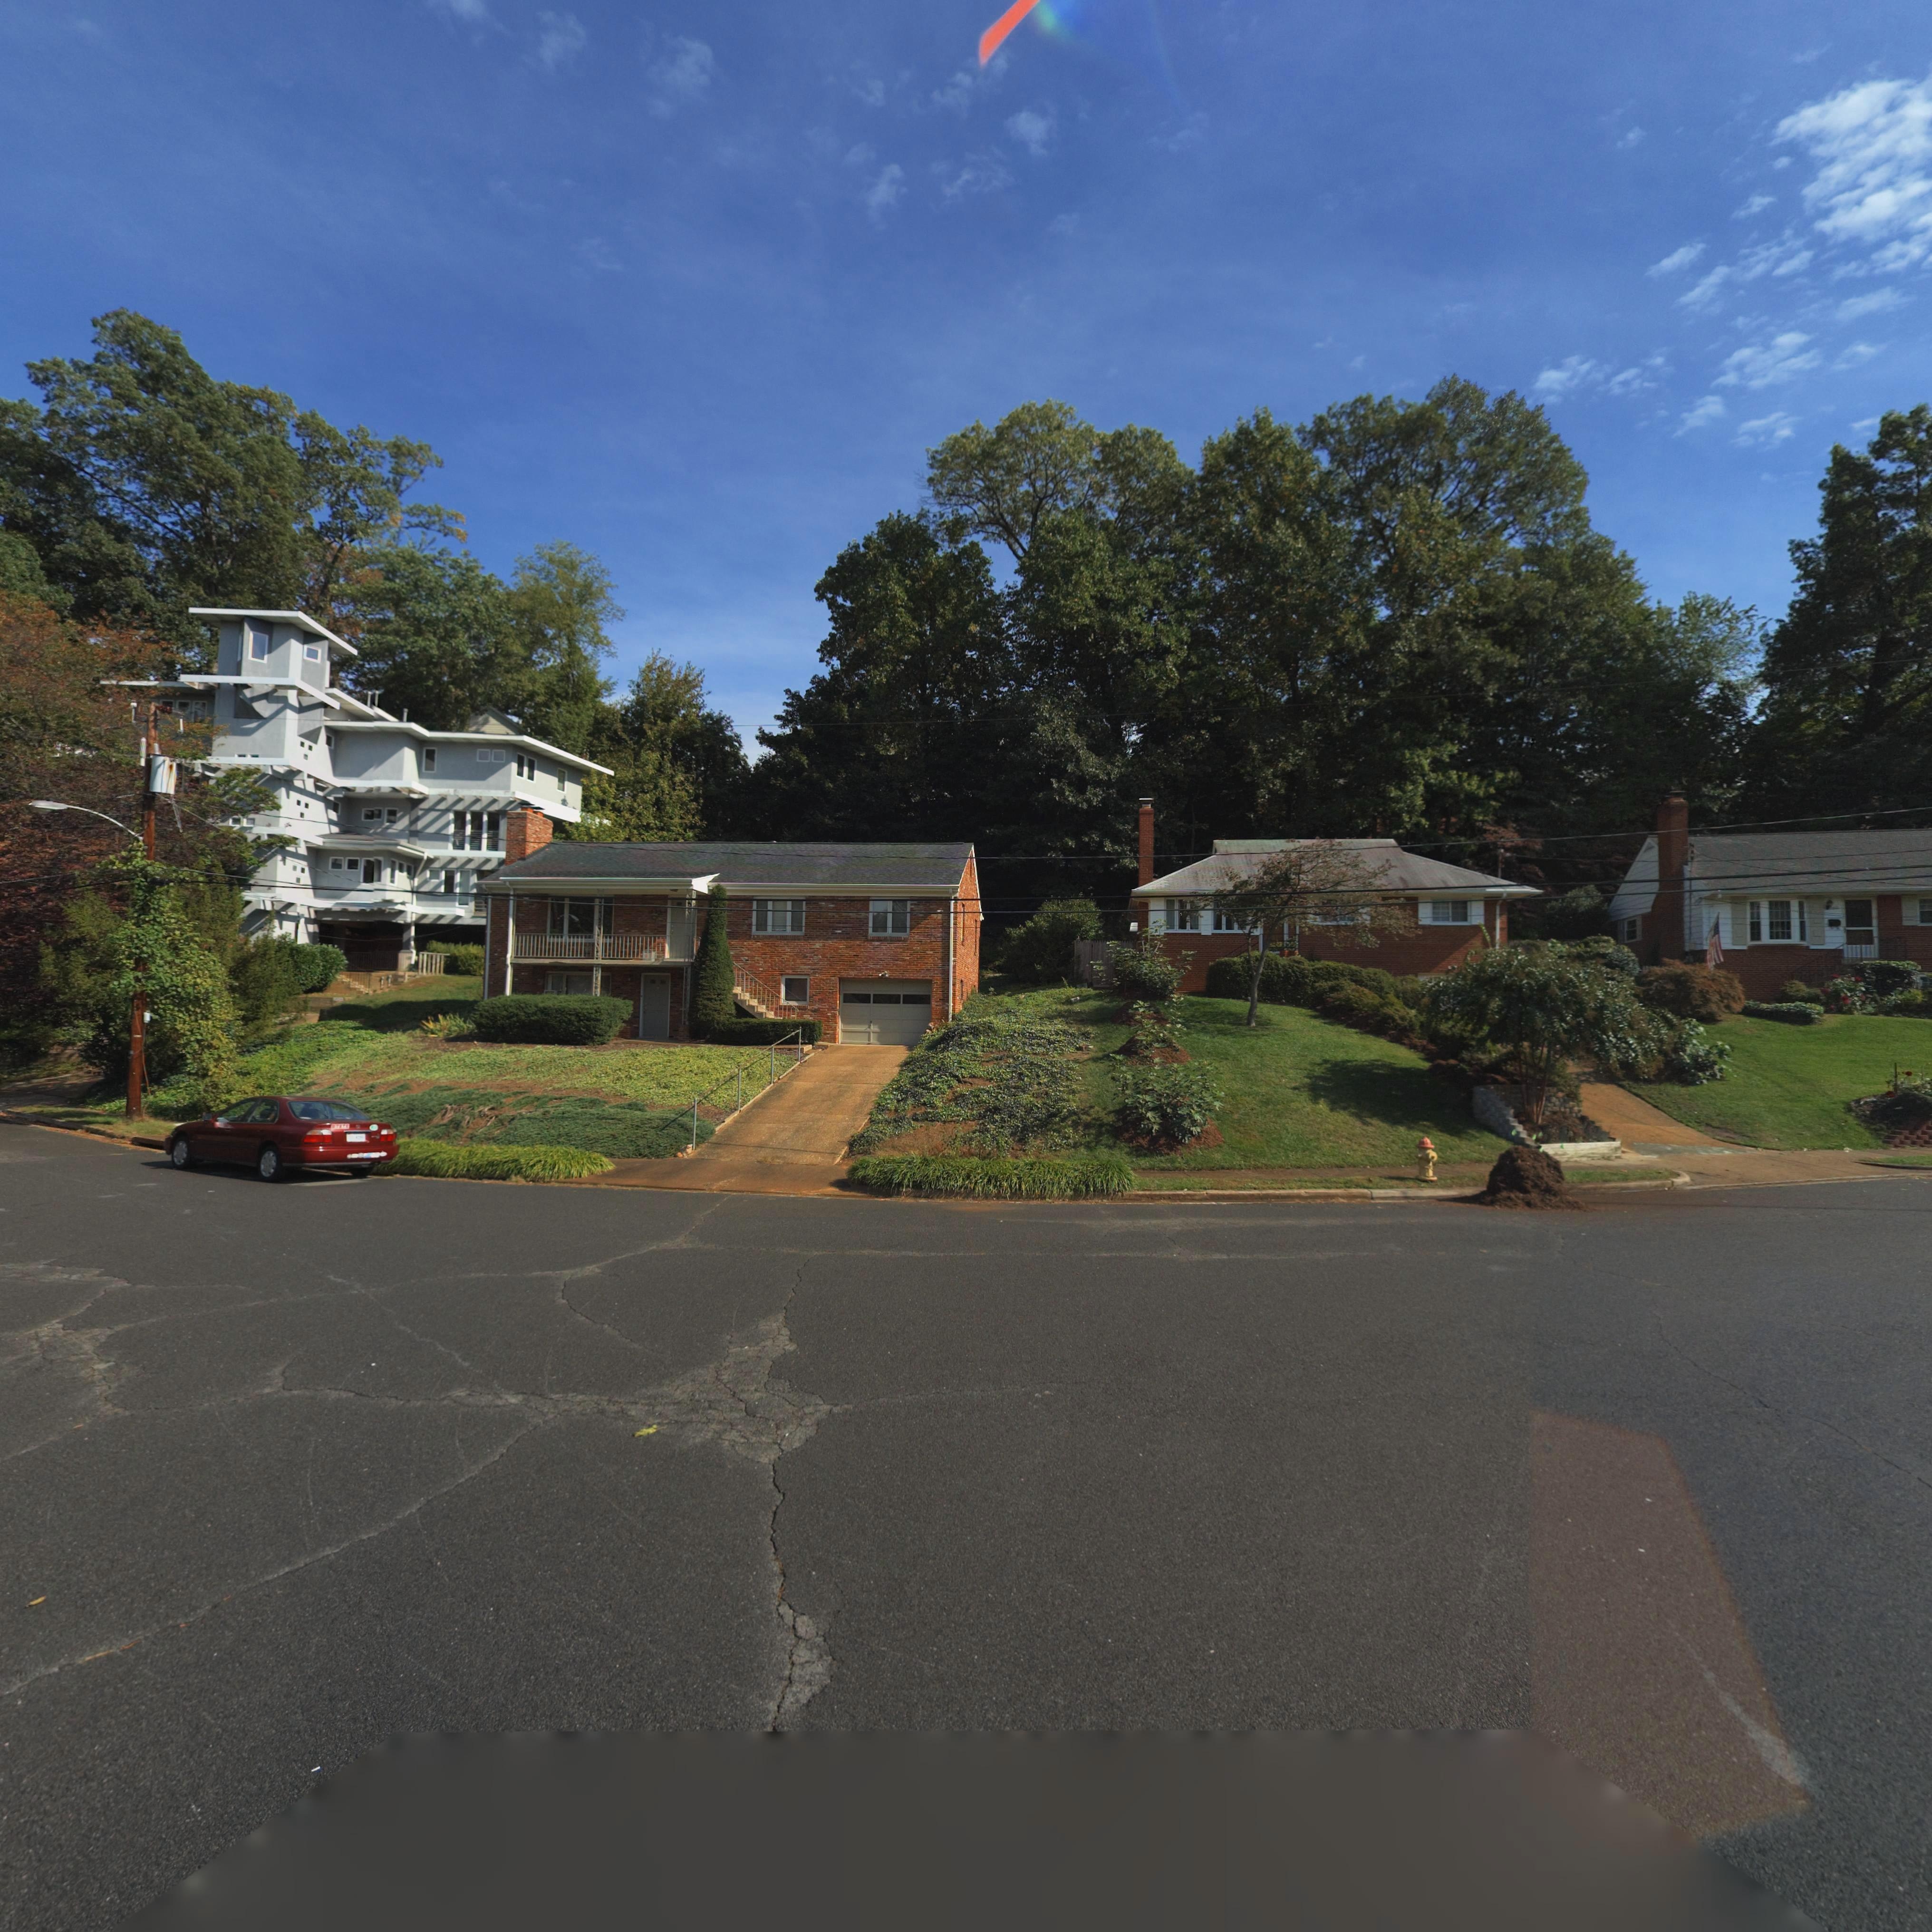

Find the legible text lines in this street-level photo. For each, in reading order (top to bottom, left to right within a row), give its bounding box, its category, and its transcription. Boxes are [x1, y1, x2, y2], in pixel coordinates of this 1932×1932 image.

[648, 909, 662, 915] StreetNumber: 1829